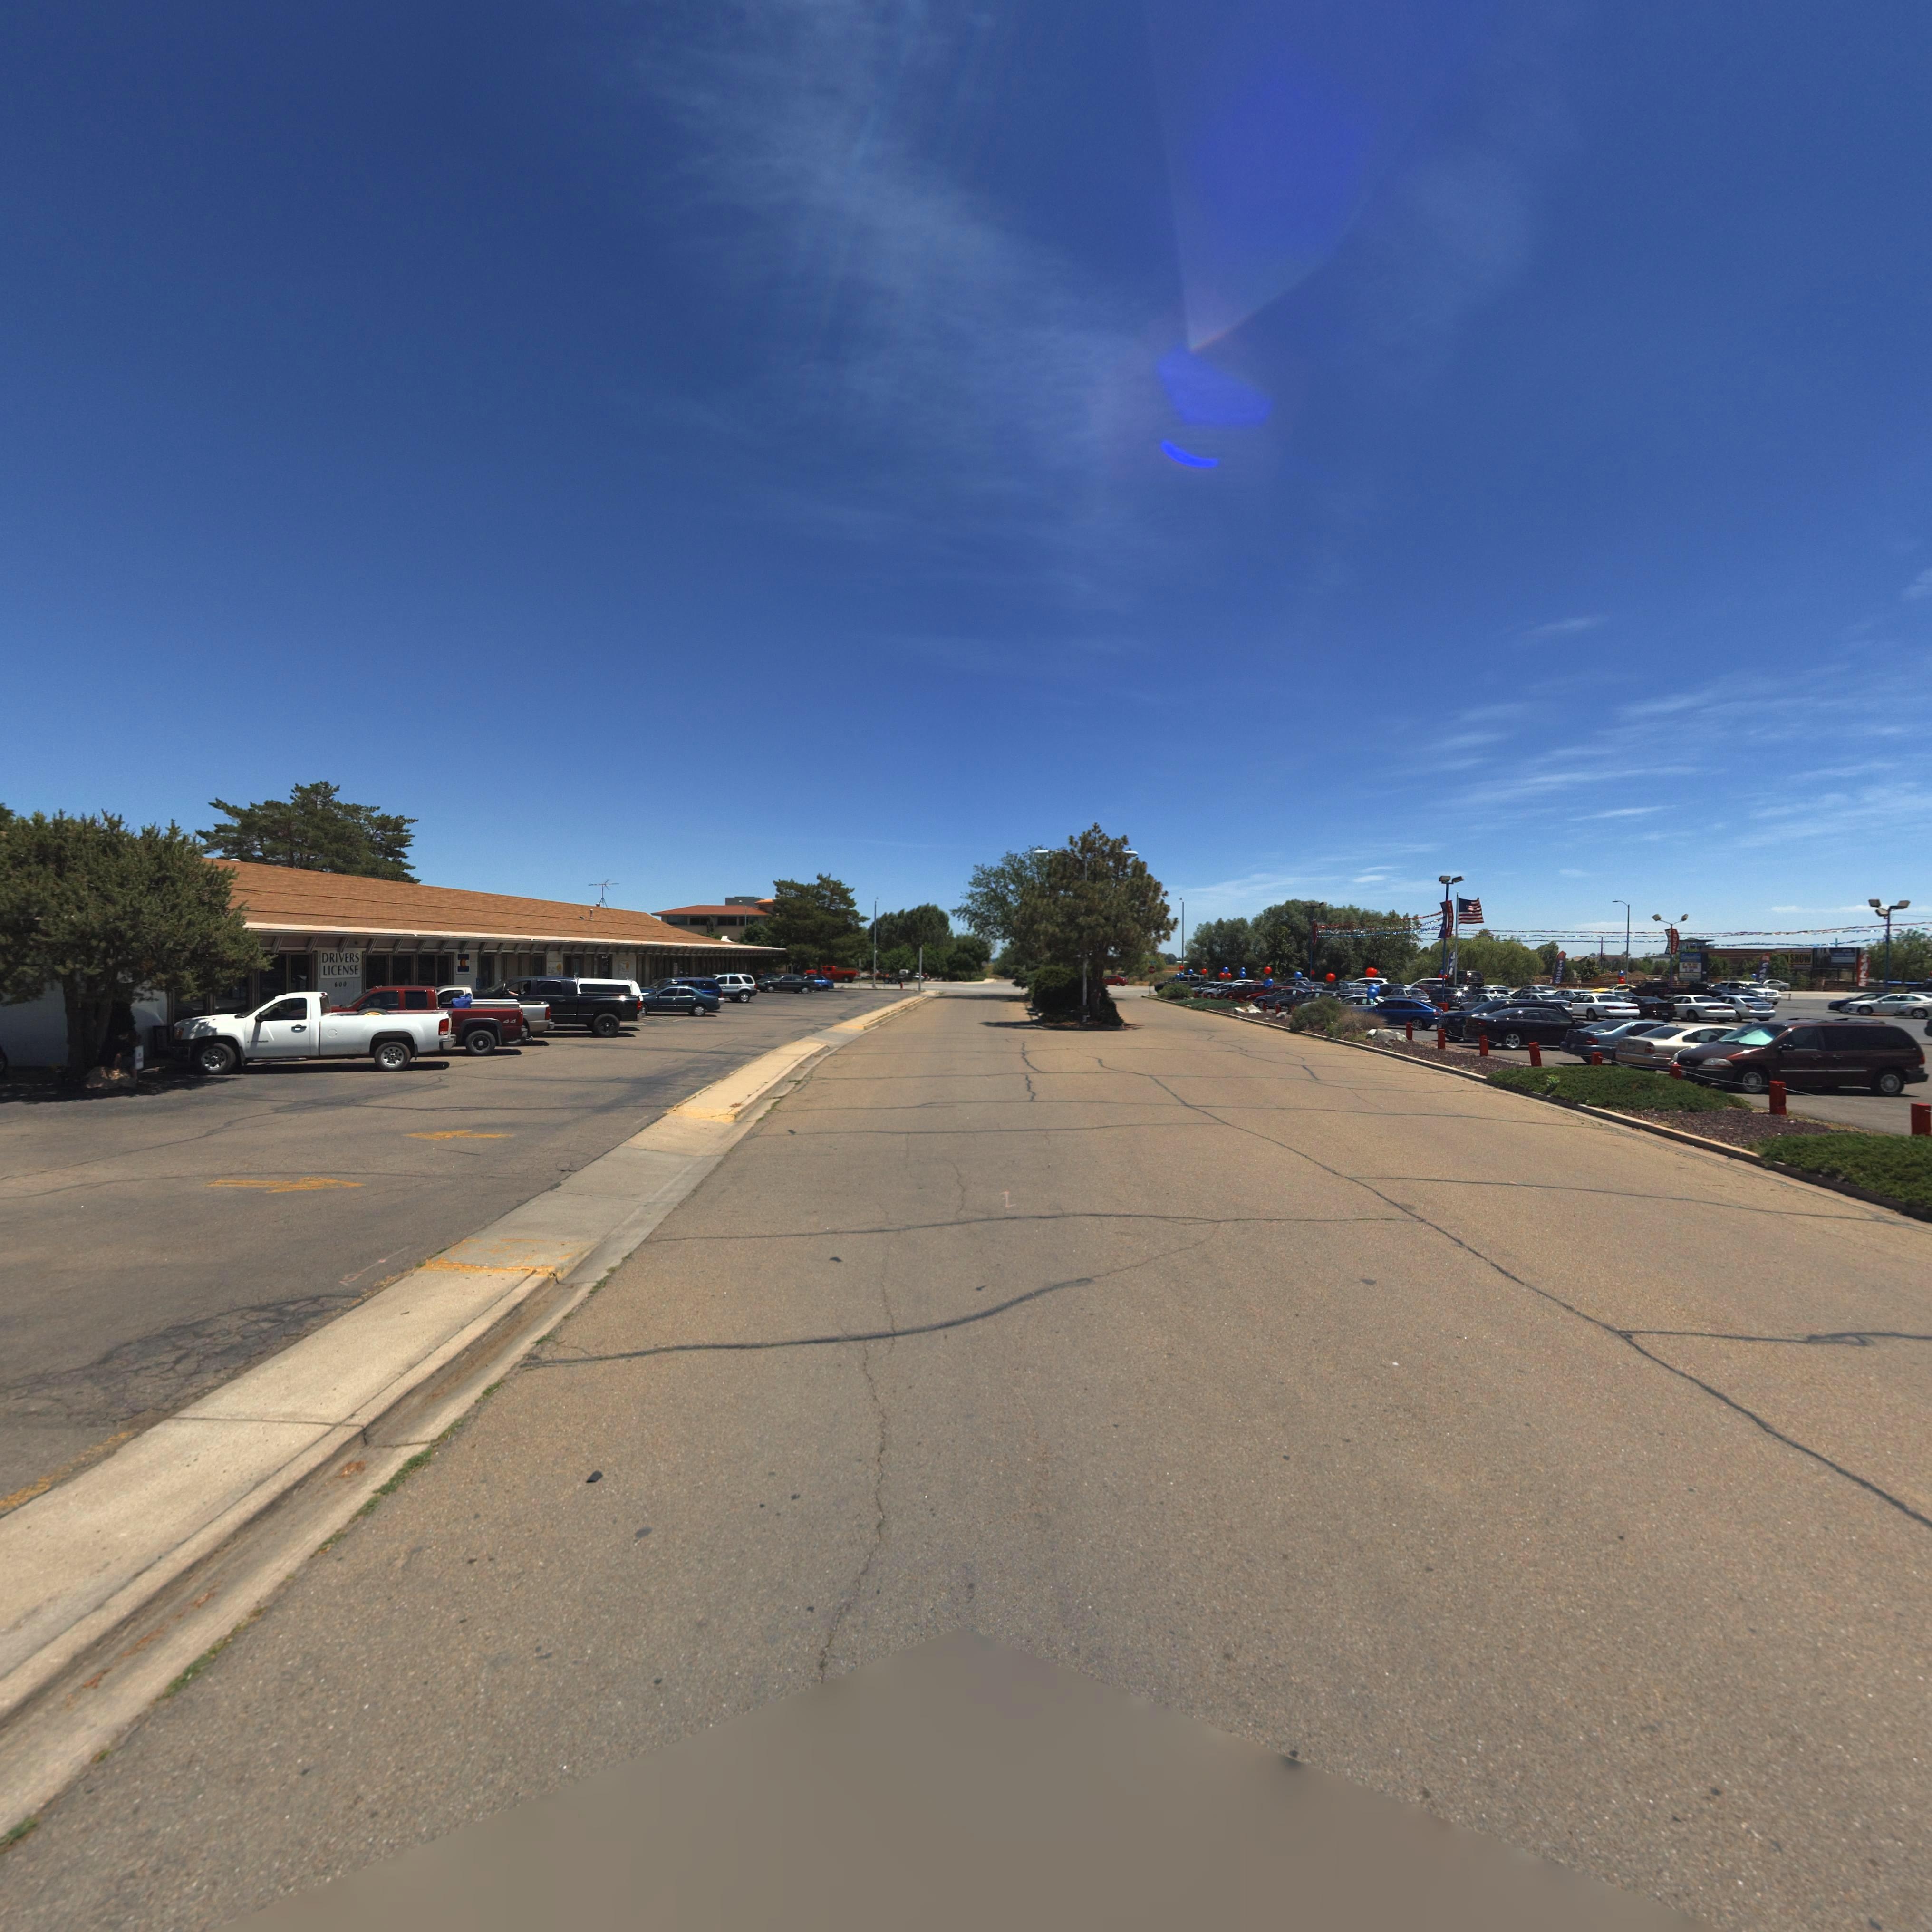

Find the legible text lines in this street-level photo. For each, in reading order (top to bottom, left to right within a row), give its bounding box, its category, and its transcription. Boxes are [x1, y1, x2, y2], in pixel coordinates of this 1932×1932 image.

[334, 980, 347, 987] StreetNumber: 600